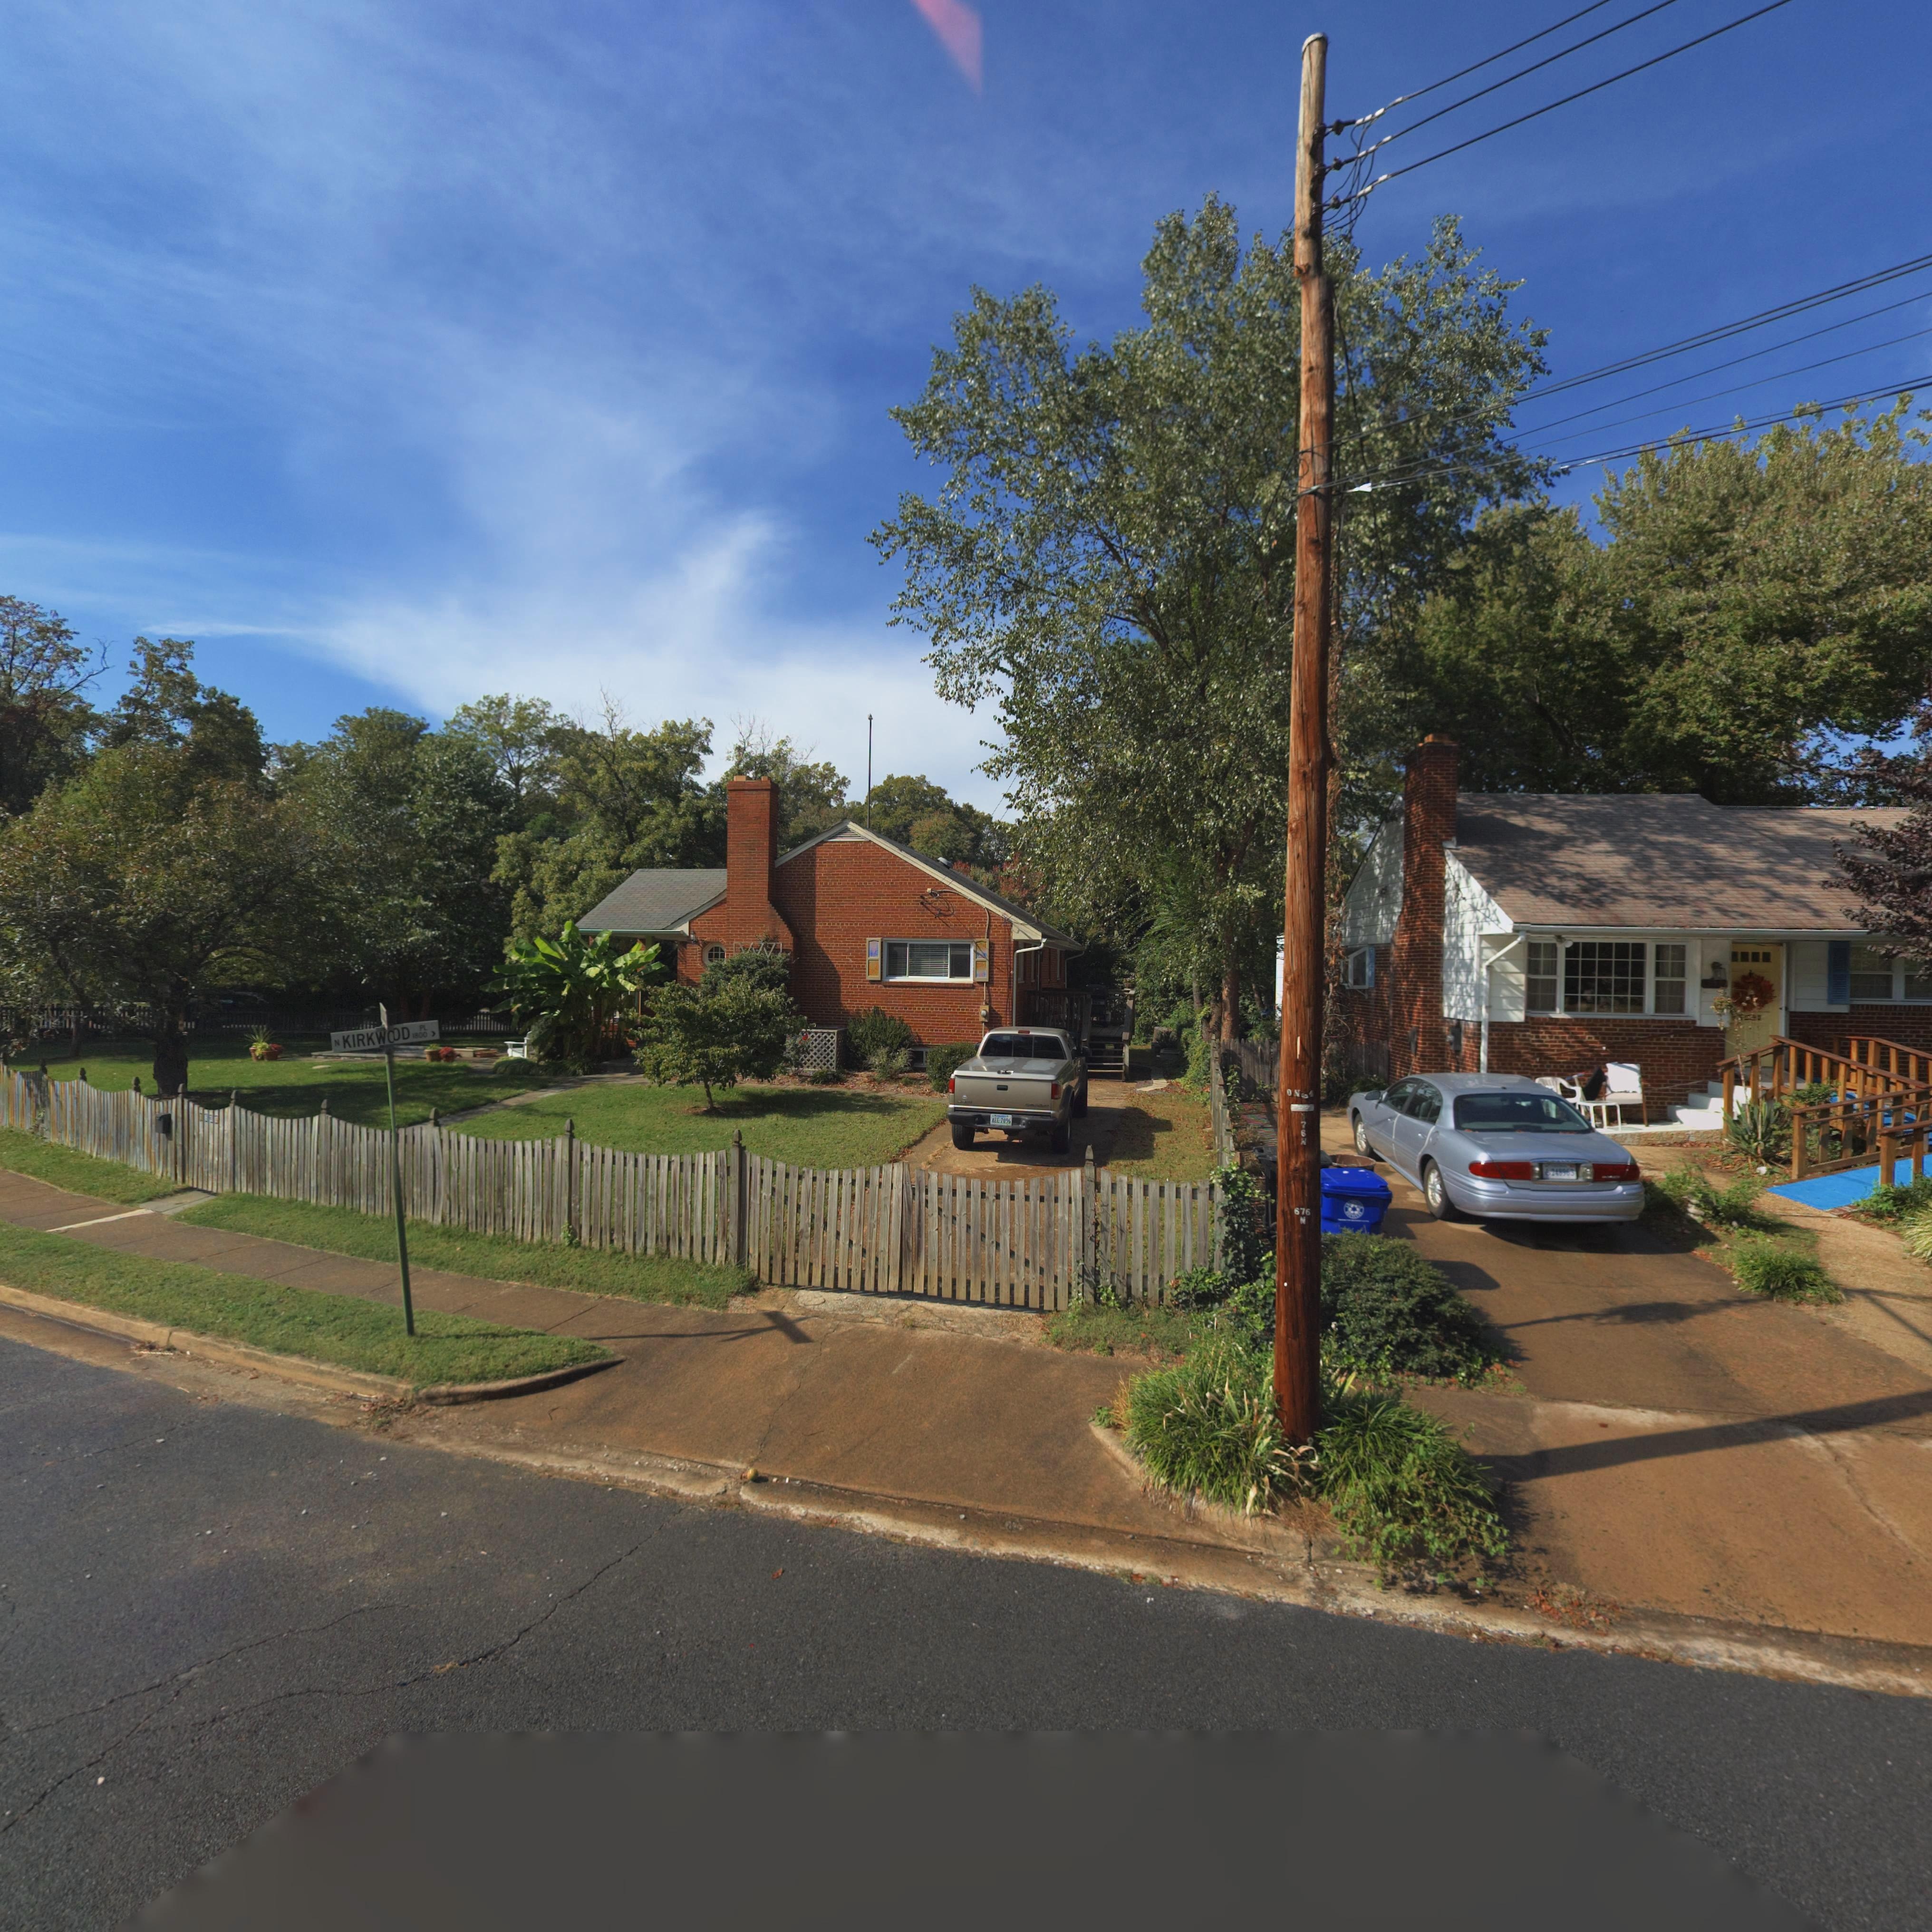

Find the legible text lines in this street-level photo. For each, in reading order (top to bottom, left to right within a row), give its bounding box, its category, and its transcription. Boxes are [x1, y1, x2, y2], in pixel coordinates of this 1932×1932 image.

[419, 1024, 427, 1031] StreetName: PL
[333, 1038, 340, 1047] StreetName: N
[342, 1026, 410, 1050] StreetName: KIRKWOOD
[412, 1030, 435, 1039] StreetNumberRange: 1800 >
[1285, 1088, 1314, 1099] None: 0N65
[992, 1117, 1011, 1123] None: AEE-7096
[1300, 1121, 1308, 1145] None: 76N
[1550, 1168, 1574, 1177] None: 248963
[1294, 1206, 1311, 1217] None: 676
[1299, 1216, 1306, 1225] None: N